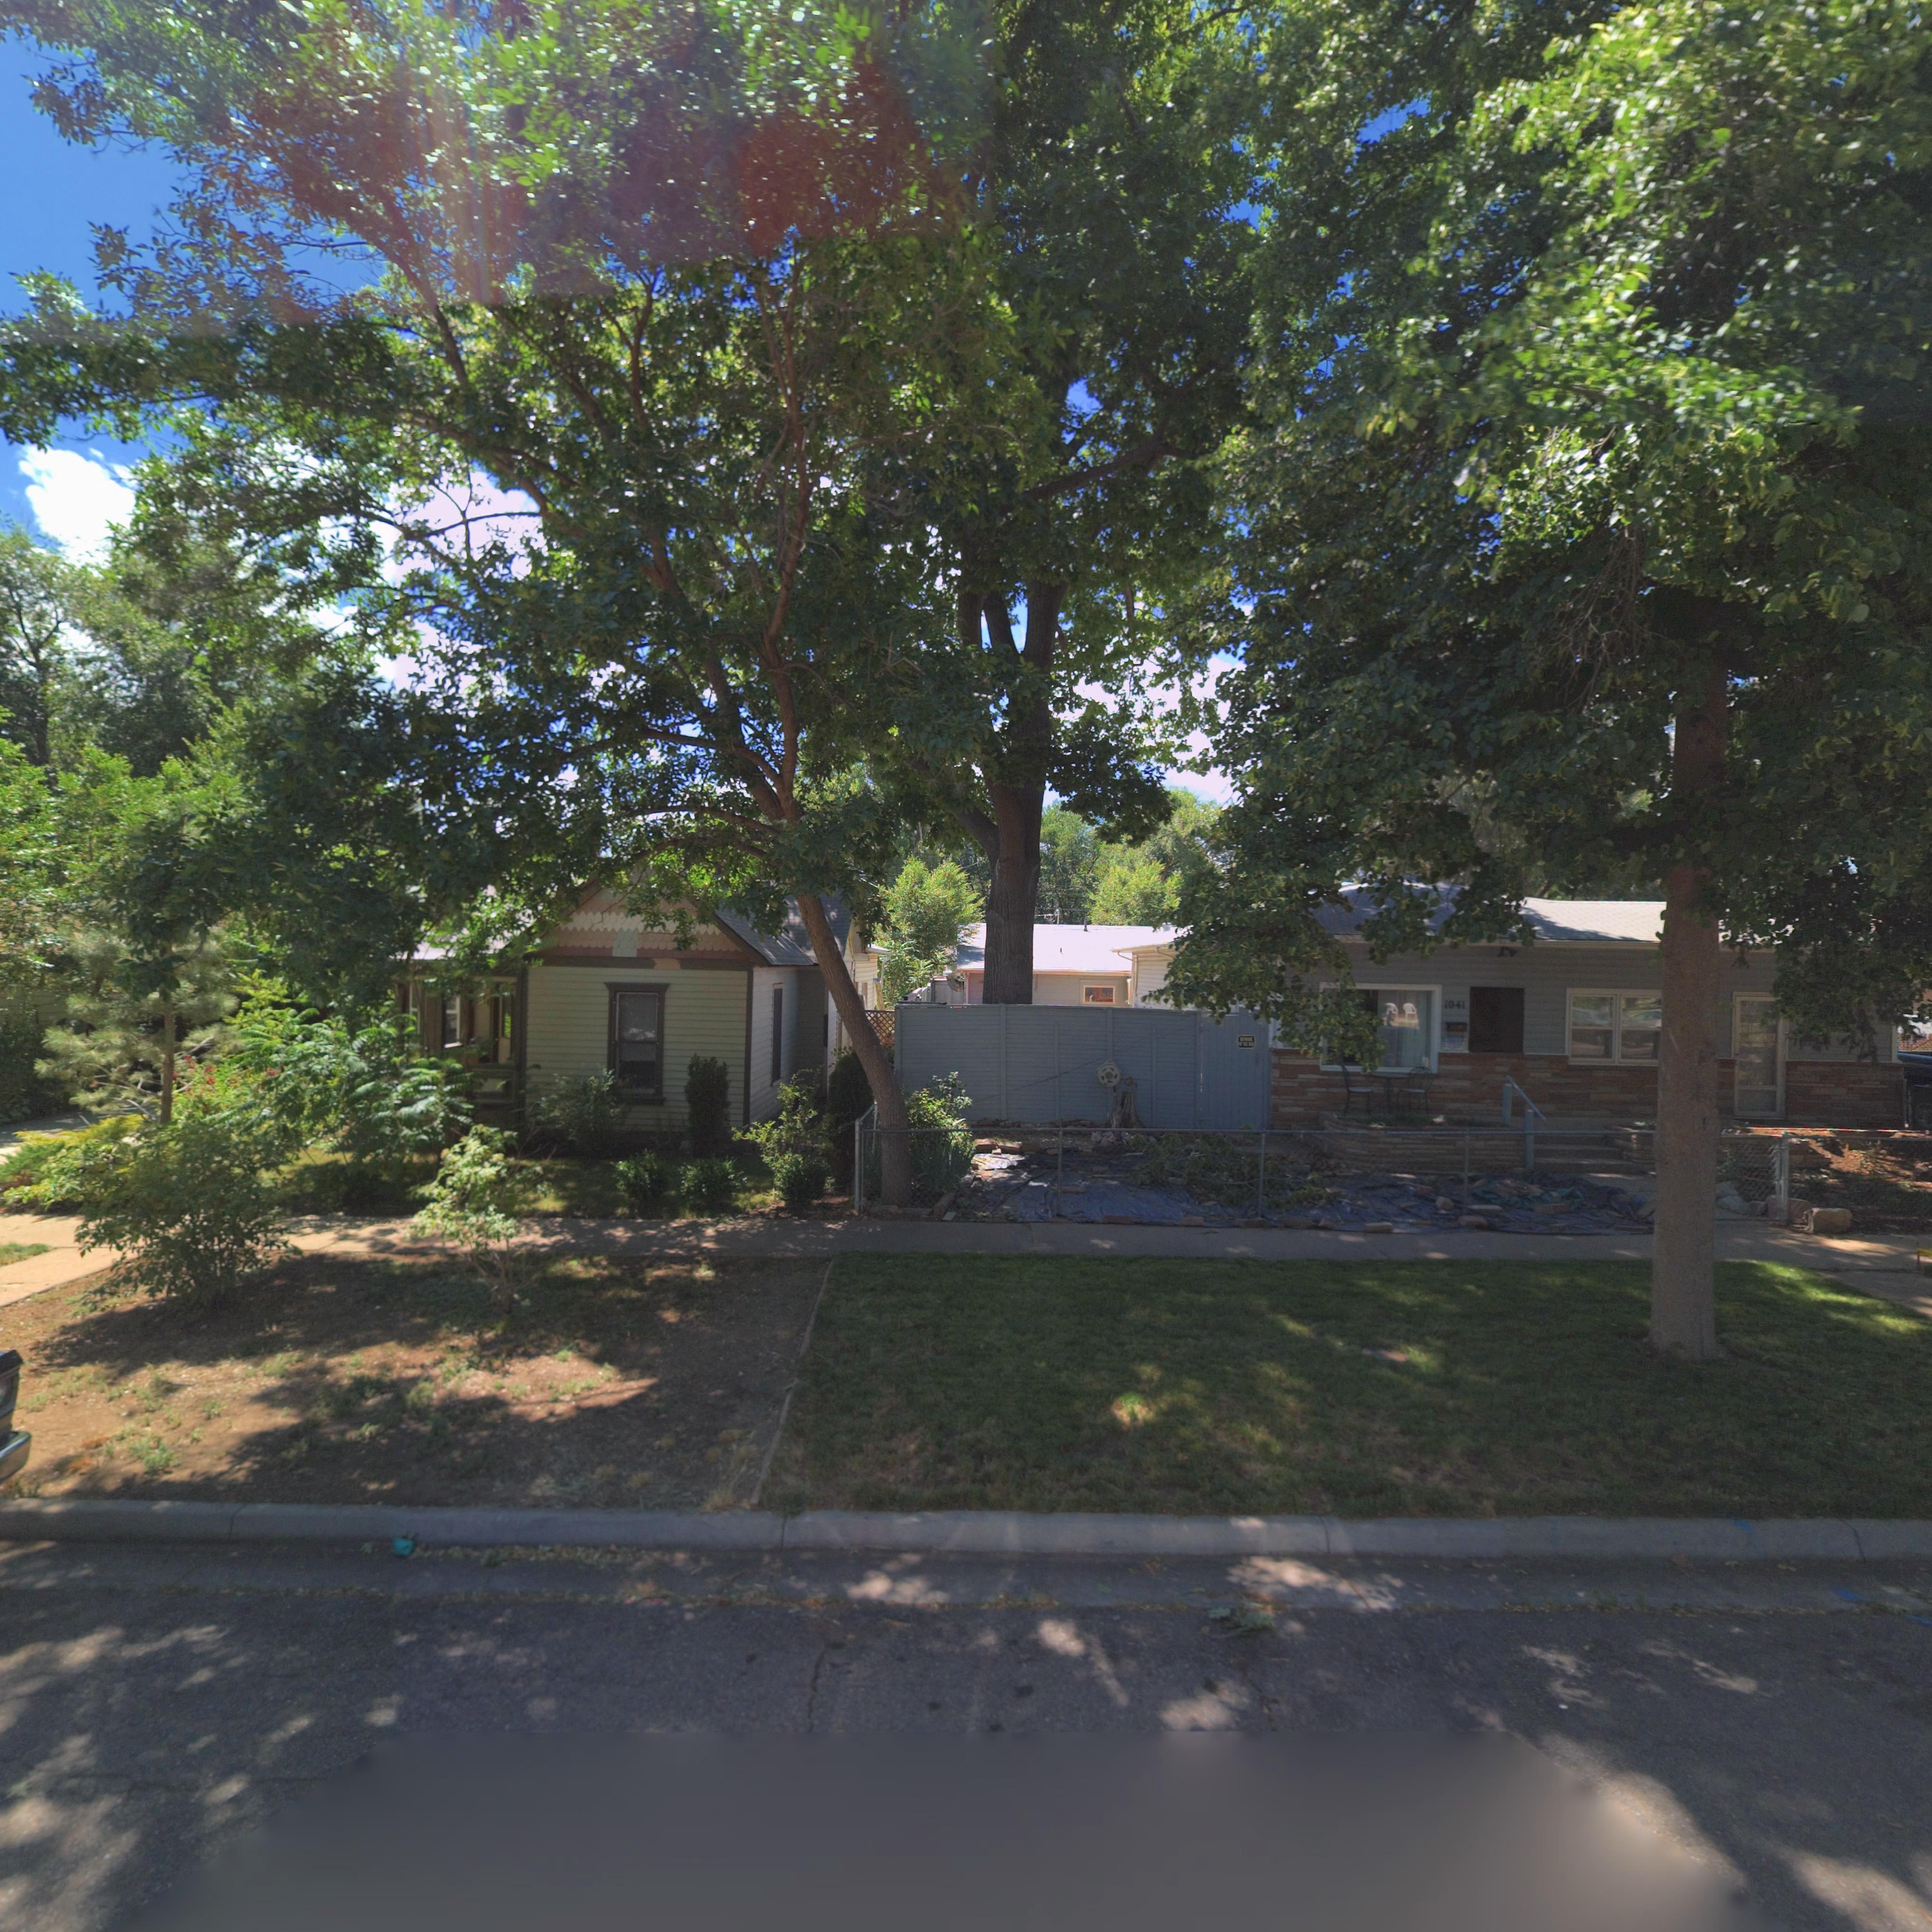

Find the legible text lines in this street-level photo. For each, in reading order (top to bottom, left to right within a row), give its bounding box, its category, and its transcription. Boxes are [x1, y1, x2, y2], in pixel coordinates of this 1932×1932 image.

[1444, 1000, 1465, 1009] StreetNumber: 1041